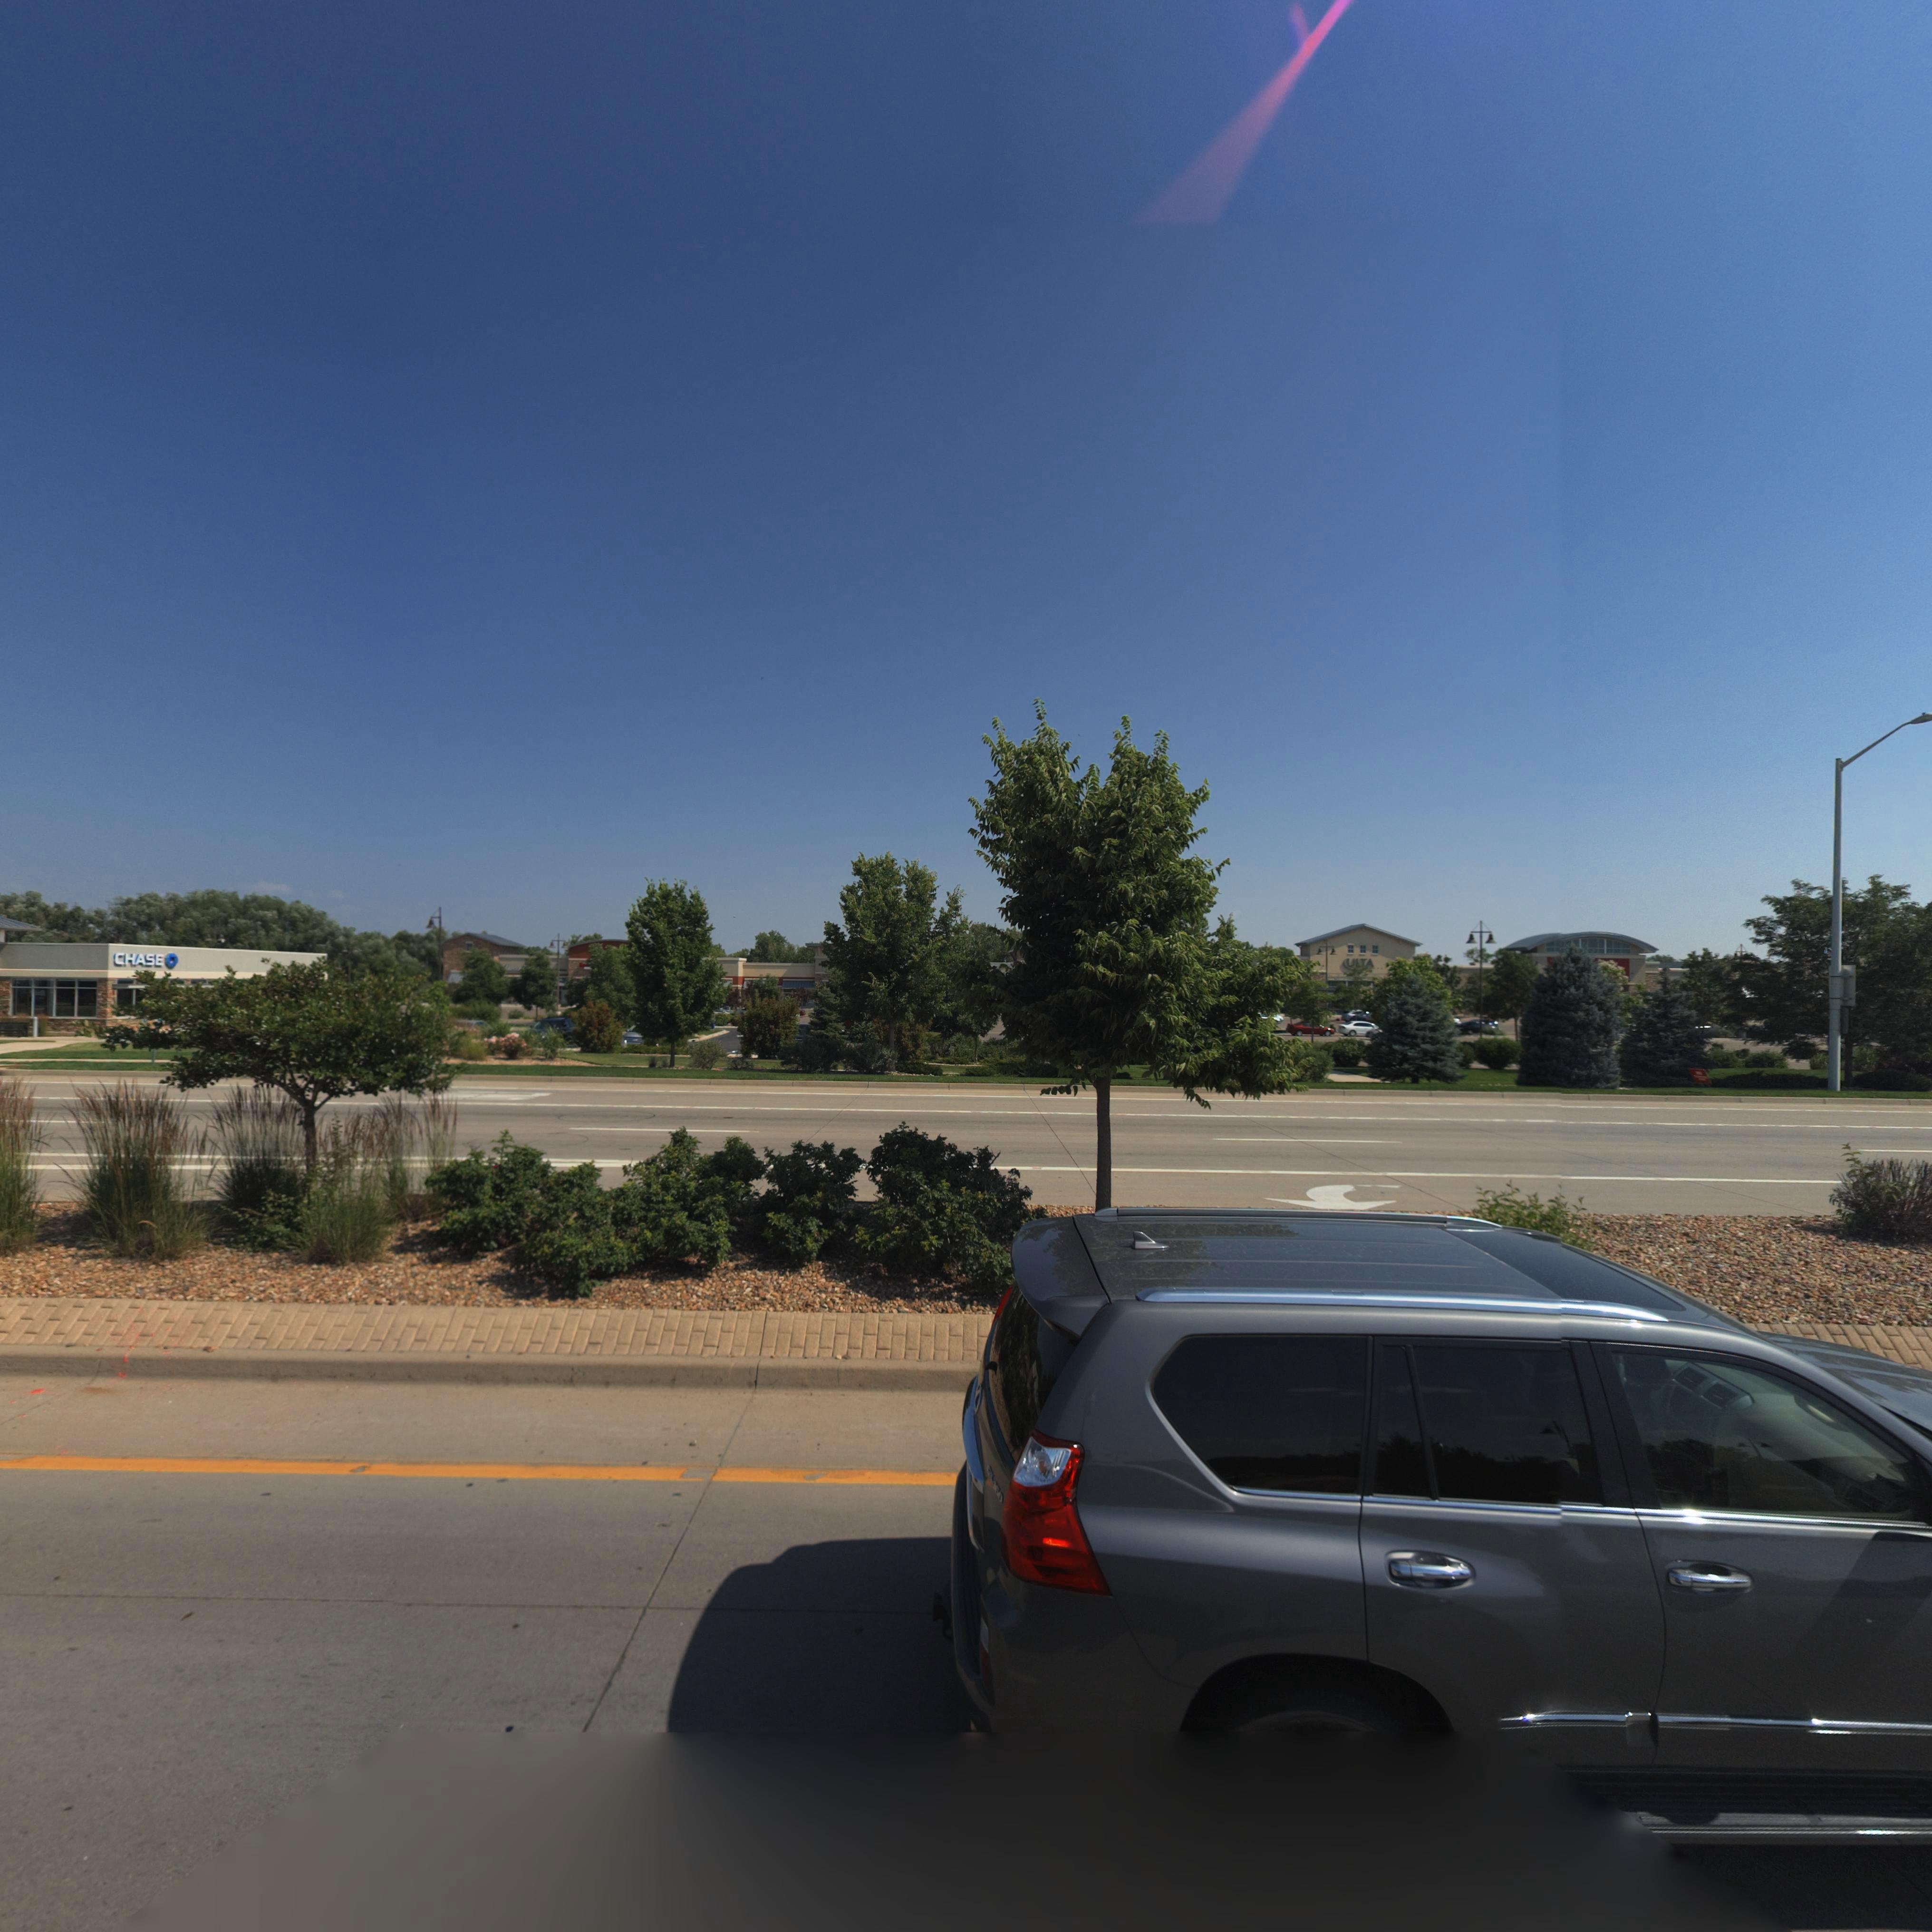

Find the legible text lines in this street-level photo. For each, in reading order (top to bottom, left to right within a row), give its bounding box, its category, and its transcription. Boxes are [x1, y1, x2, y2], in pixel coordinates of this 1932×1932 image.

[114, 952, 164, 966] BusinessName: CHASE
[579, 961, 589, 968] BusinessName: Spe
[1346, 957, 1374, 968] BusinessName: ULTA